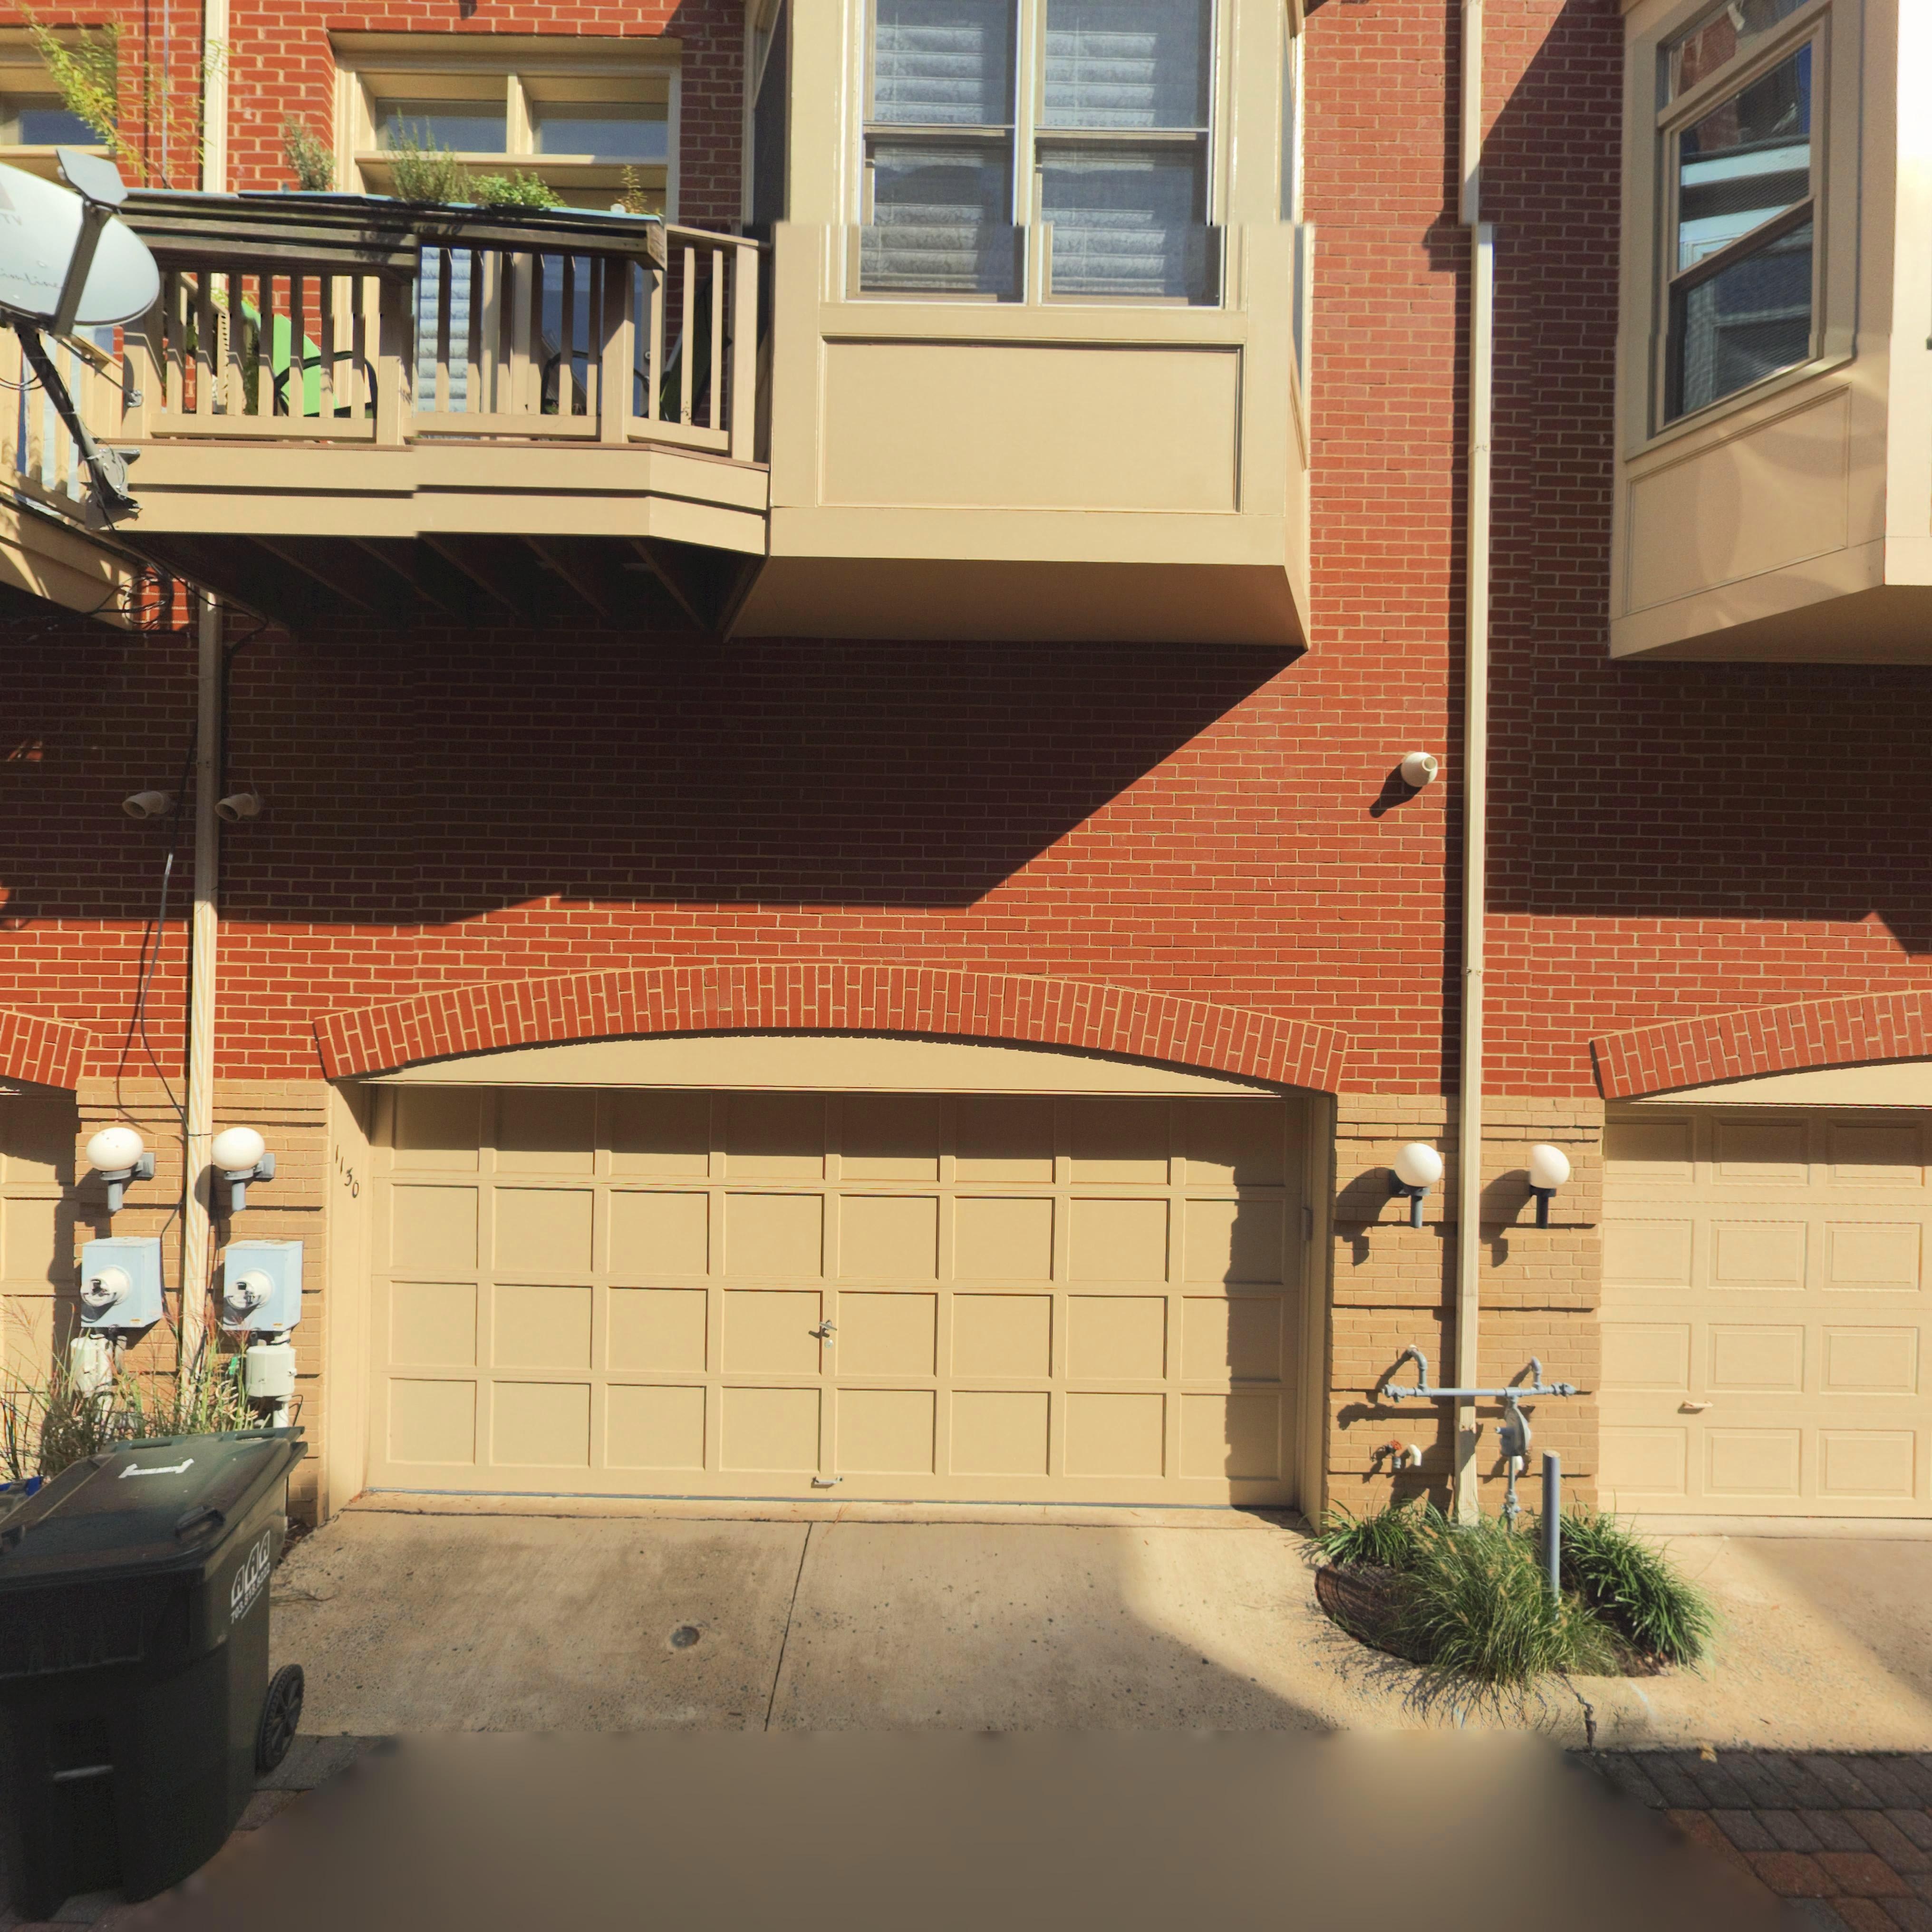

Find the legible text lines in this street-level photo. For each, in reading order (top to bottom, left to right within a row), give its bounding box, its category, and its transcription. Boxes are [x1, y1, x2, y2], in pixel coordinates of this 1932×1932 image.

[0, 213, 23, 227] None: TV
[0, 267, 62, 291] None: imLine
[334, 1143, 360, 1199] StreetNumber: 1130
[228, 1560, 271, 1627] None: 703.818.8222
[232, 1531, 270, 1603] None: AAA